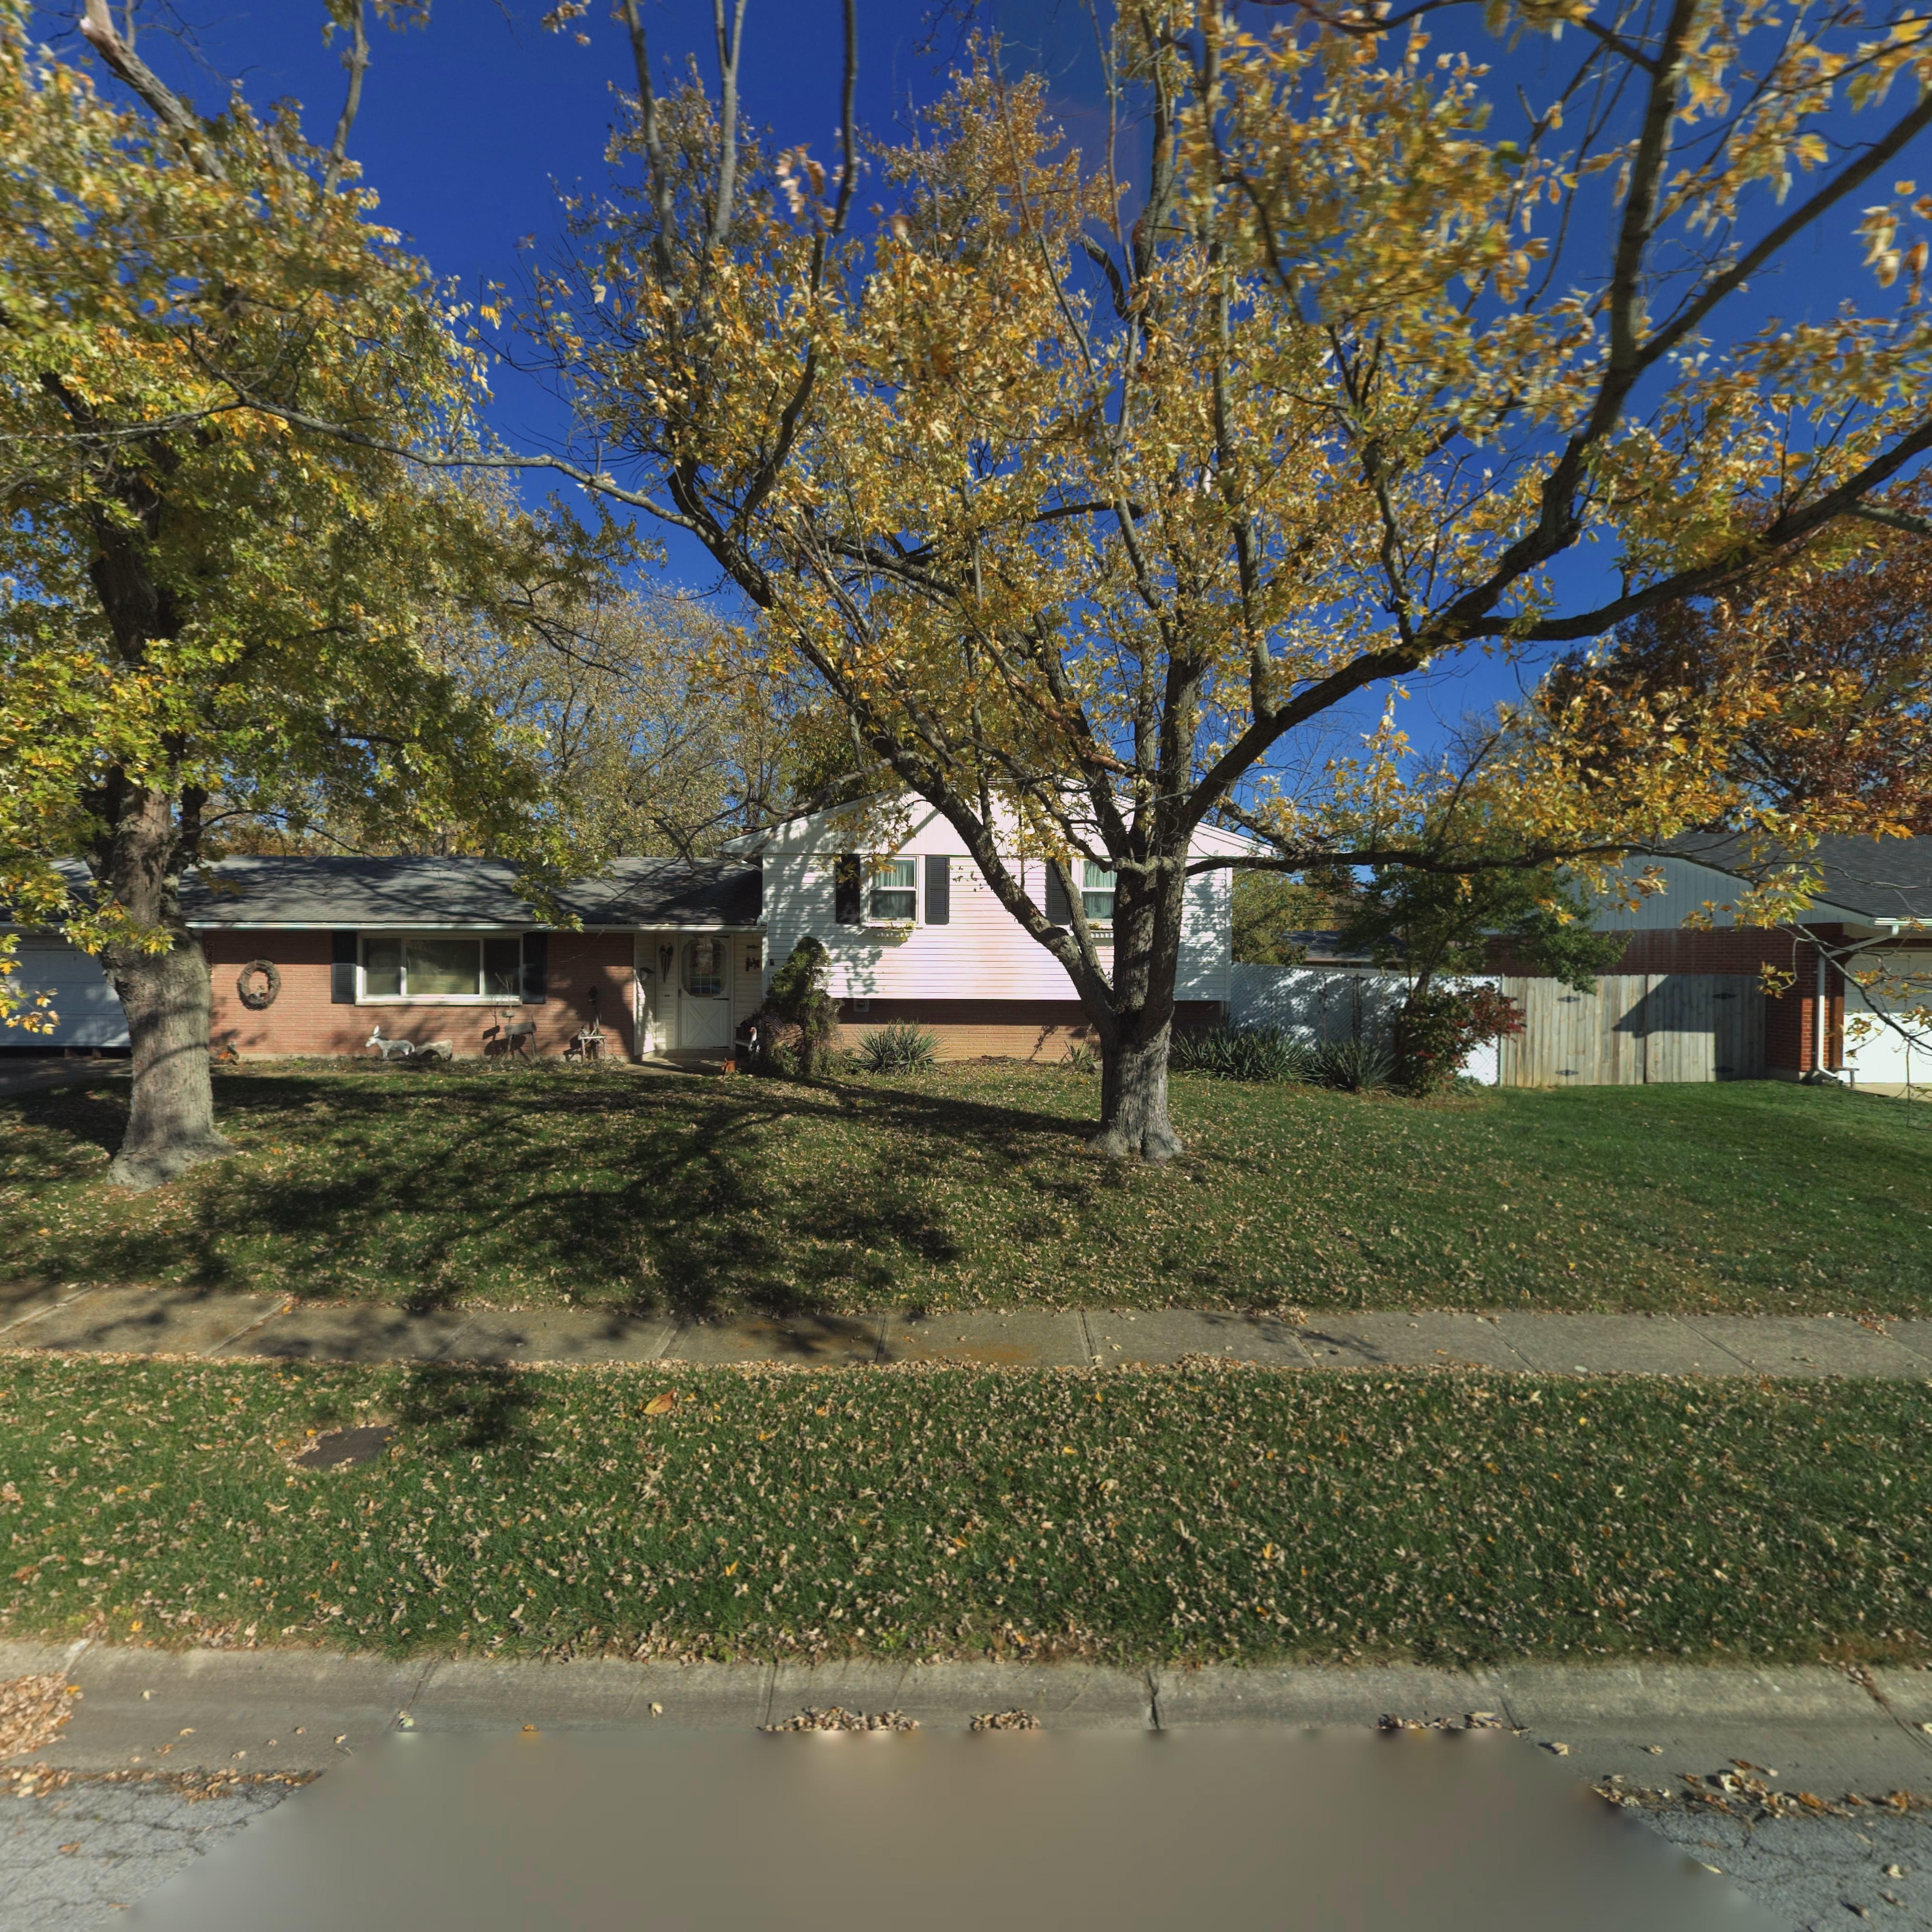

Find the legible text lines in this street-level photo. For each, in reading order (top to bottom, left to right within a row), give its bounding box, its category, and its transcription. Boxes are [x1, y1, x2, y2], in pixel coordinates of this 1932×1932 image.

[206, 942, 213, 960] StreetNumber: 68